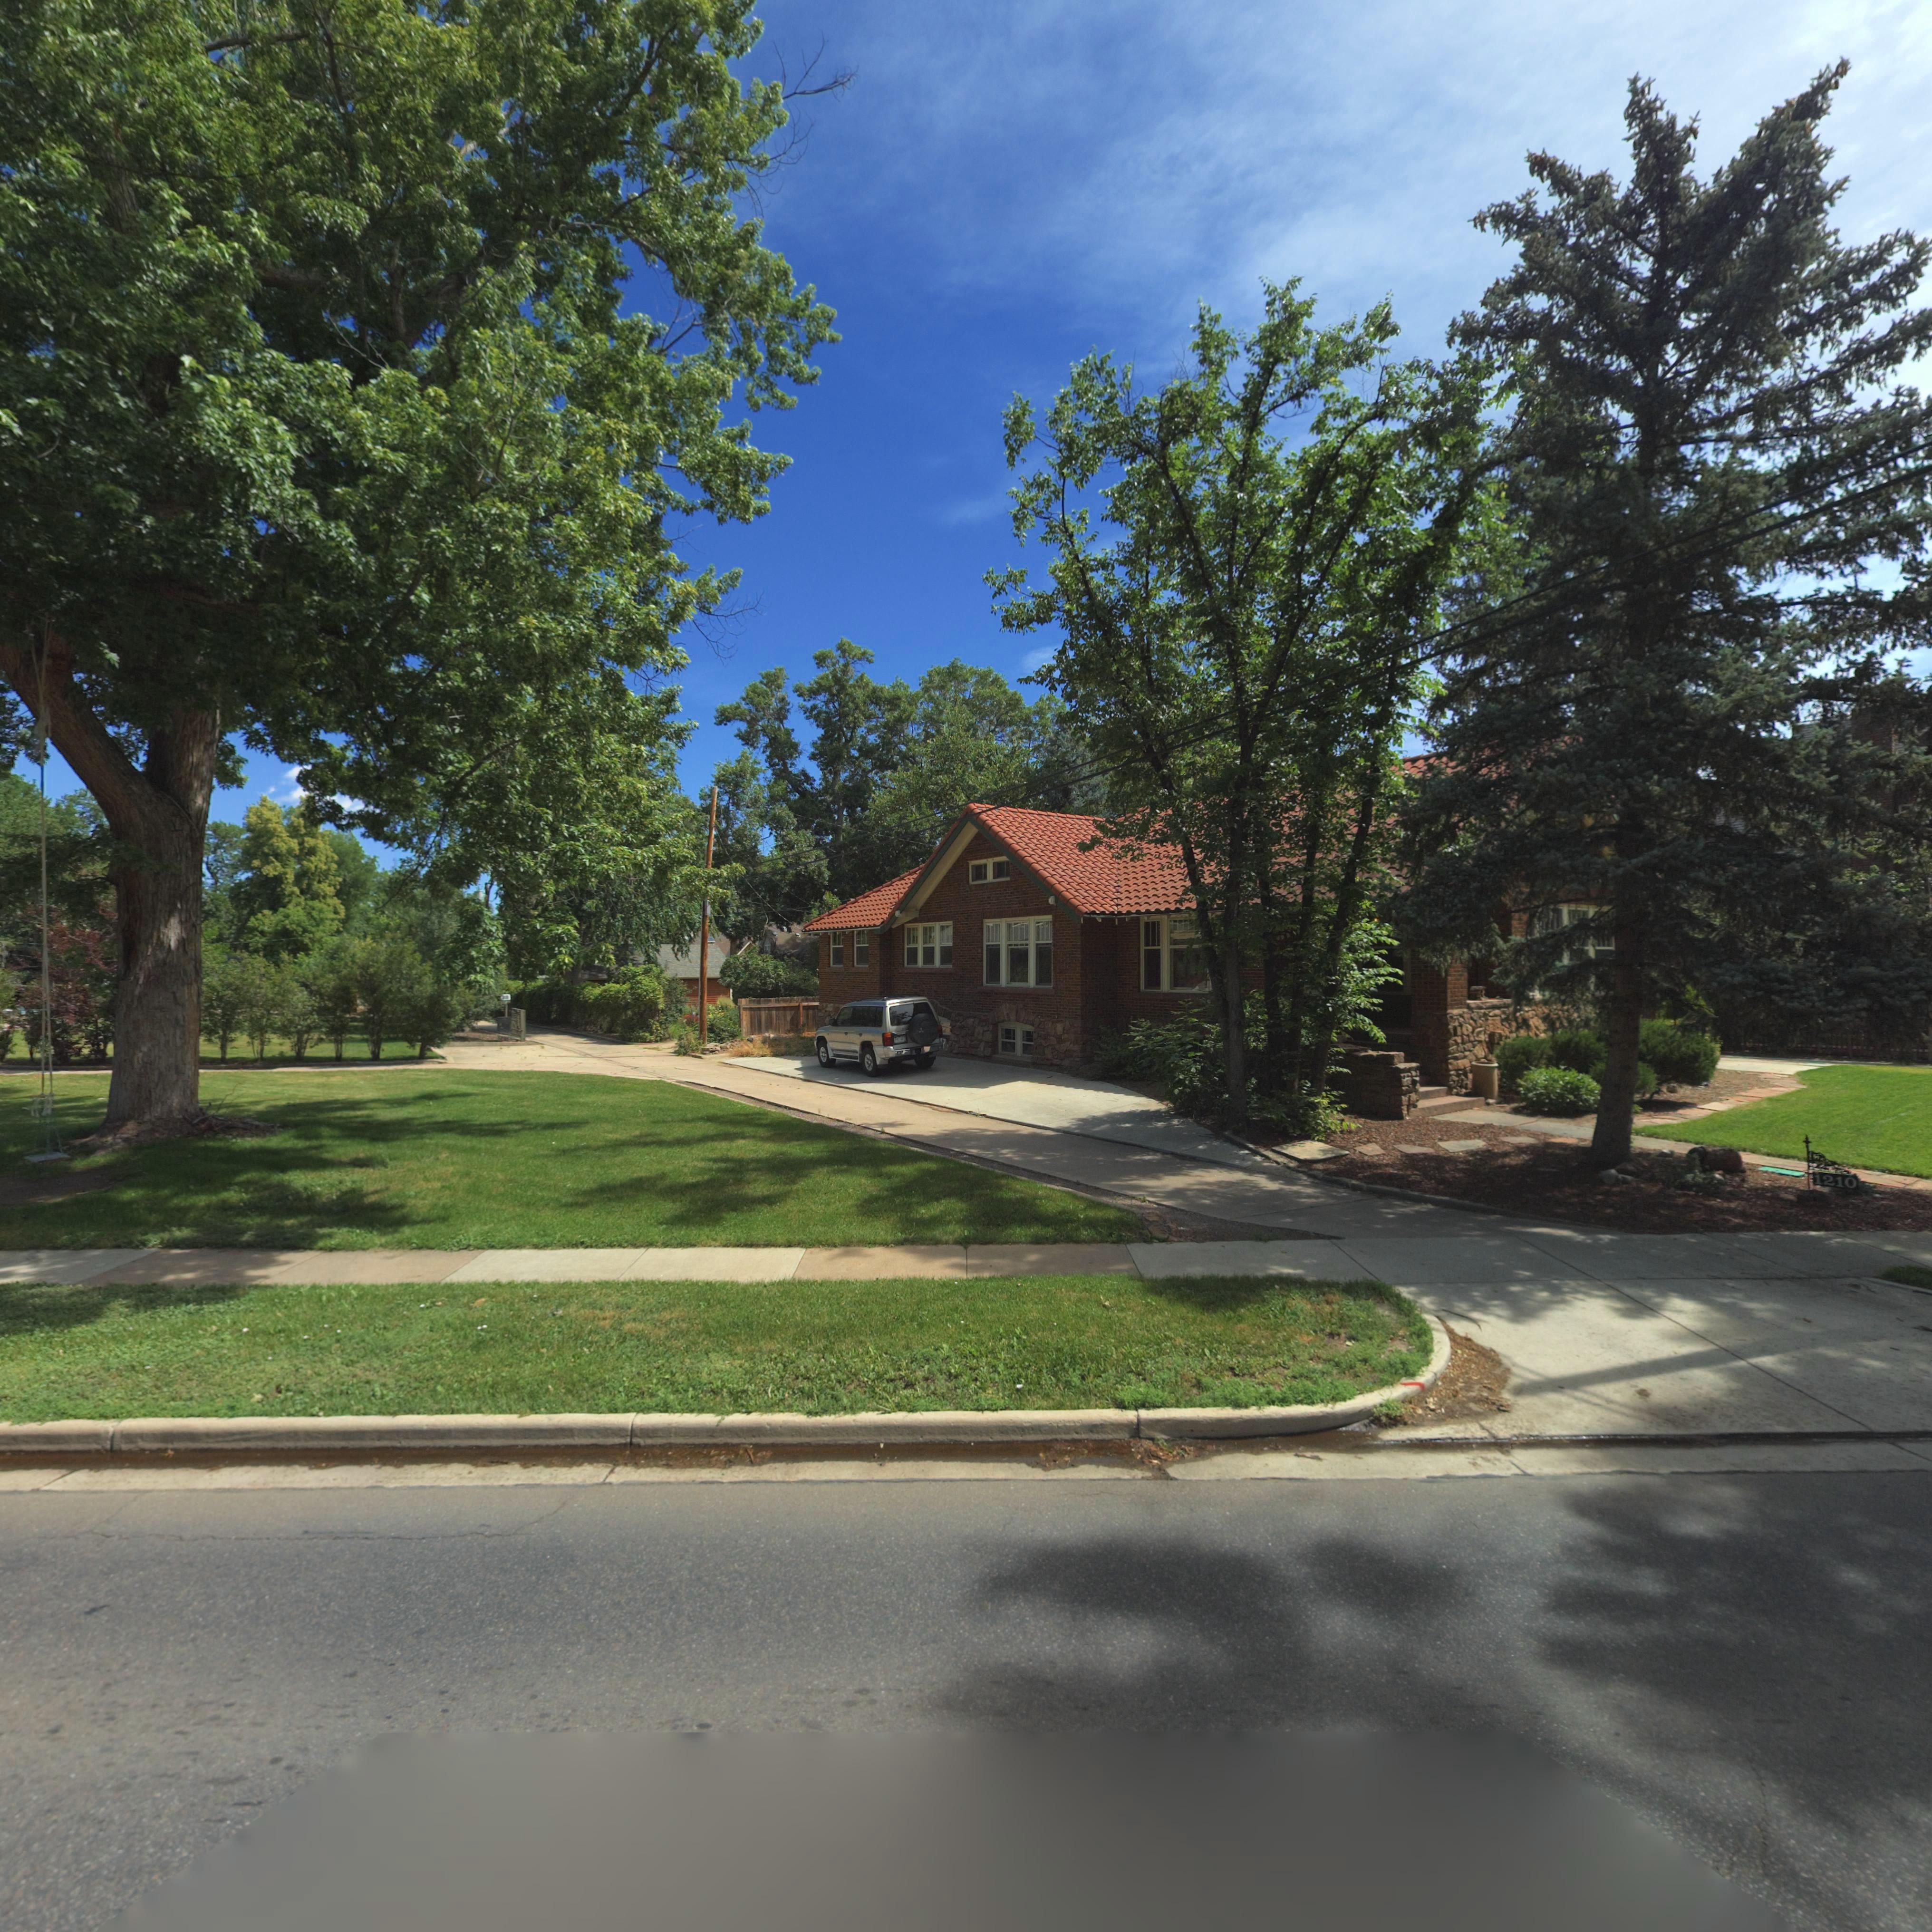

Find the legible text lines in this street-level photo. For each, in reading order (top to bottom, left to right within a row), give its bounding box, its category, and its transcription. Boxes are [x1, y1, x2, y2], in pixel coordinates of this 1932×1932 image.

[1815, 1175, 1857, 1188] StreetNumber: 1210